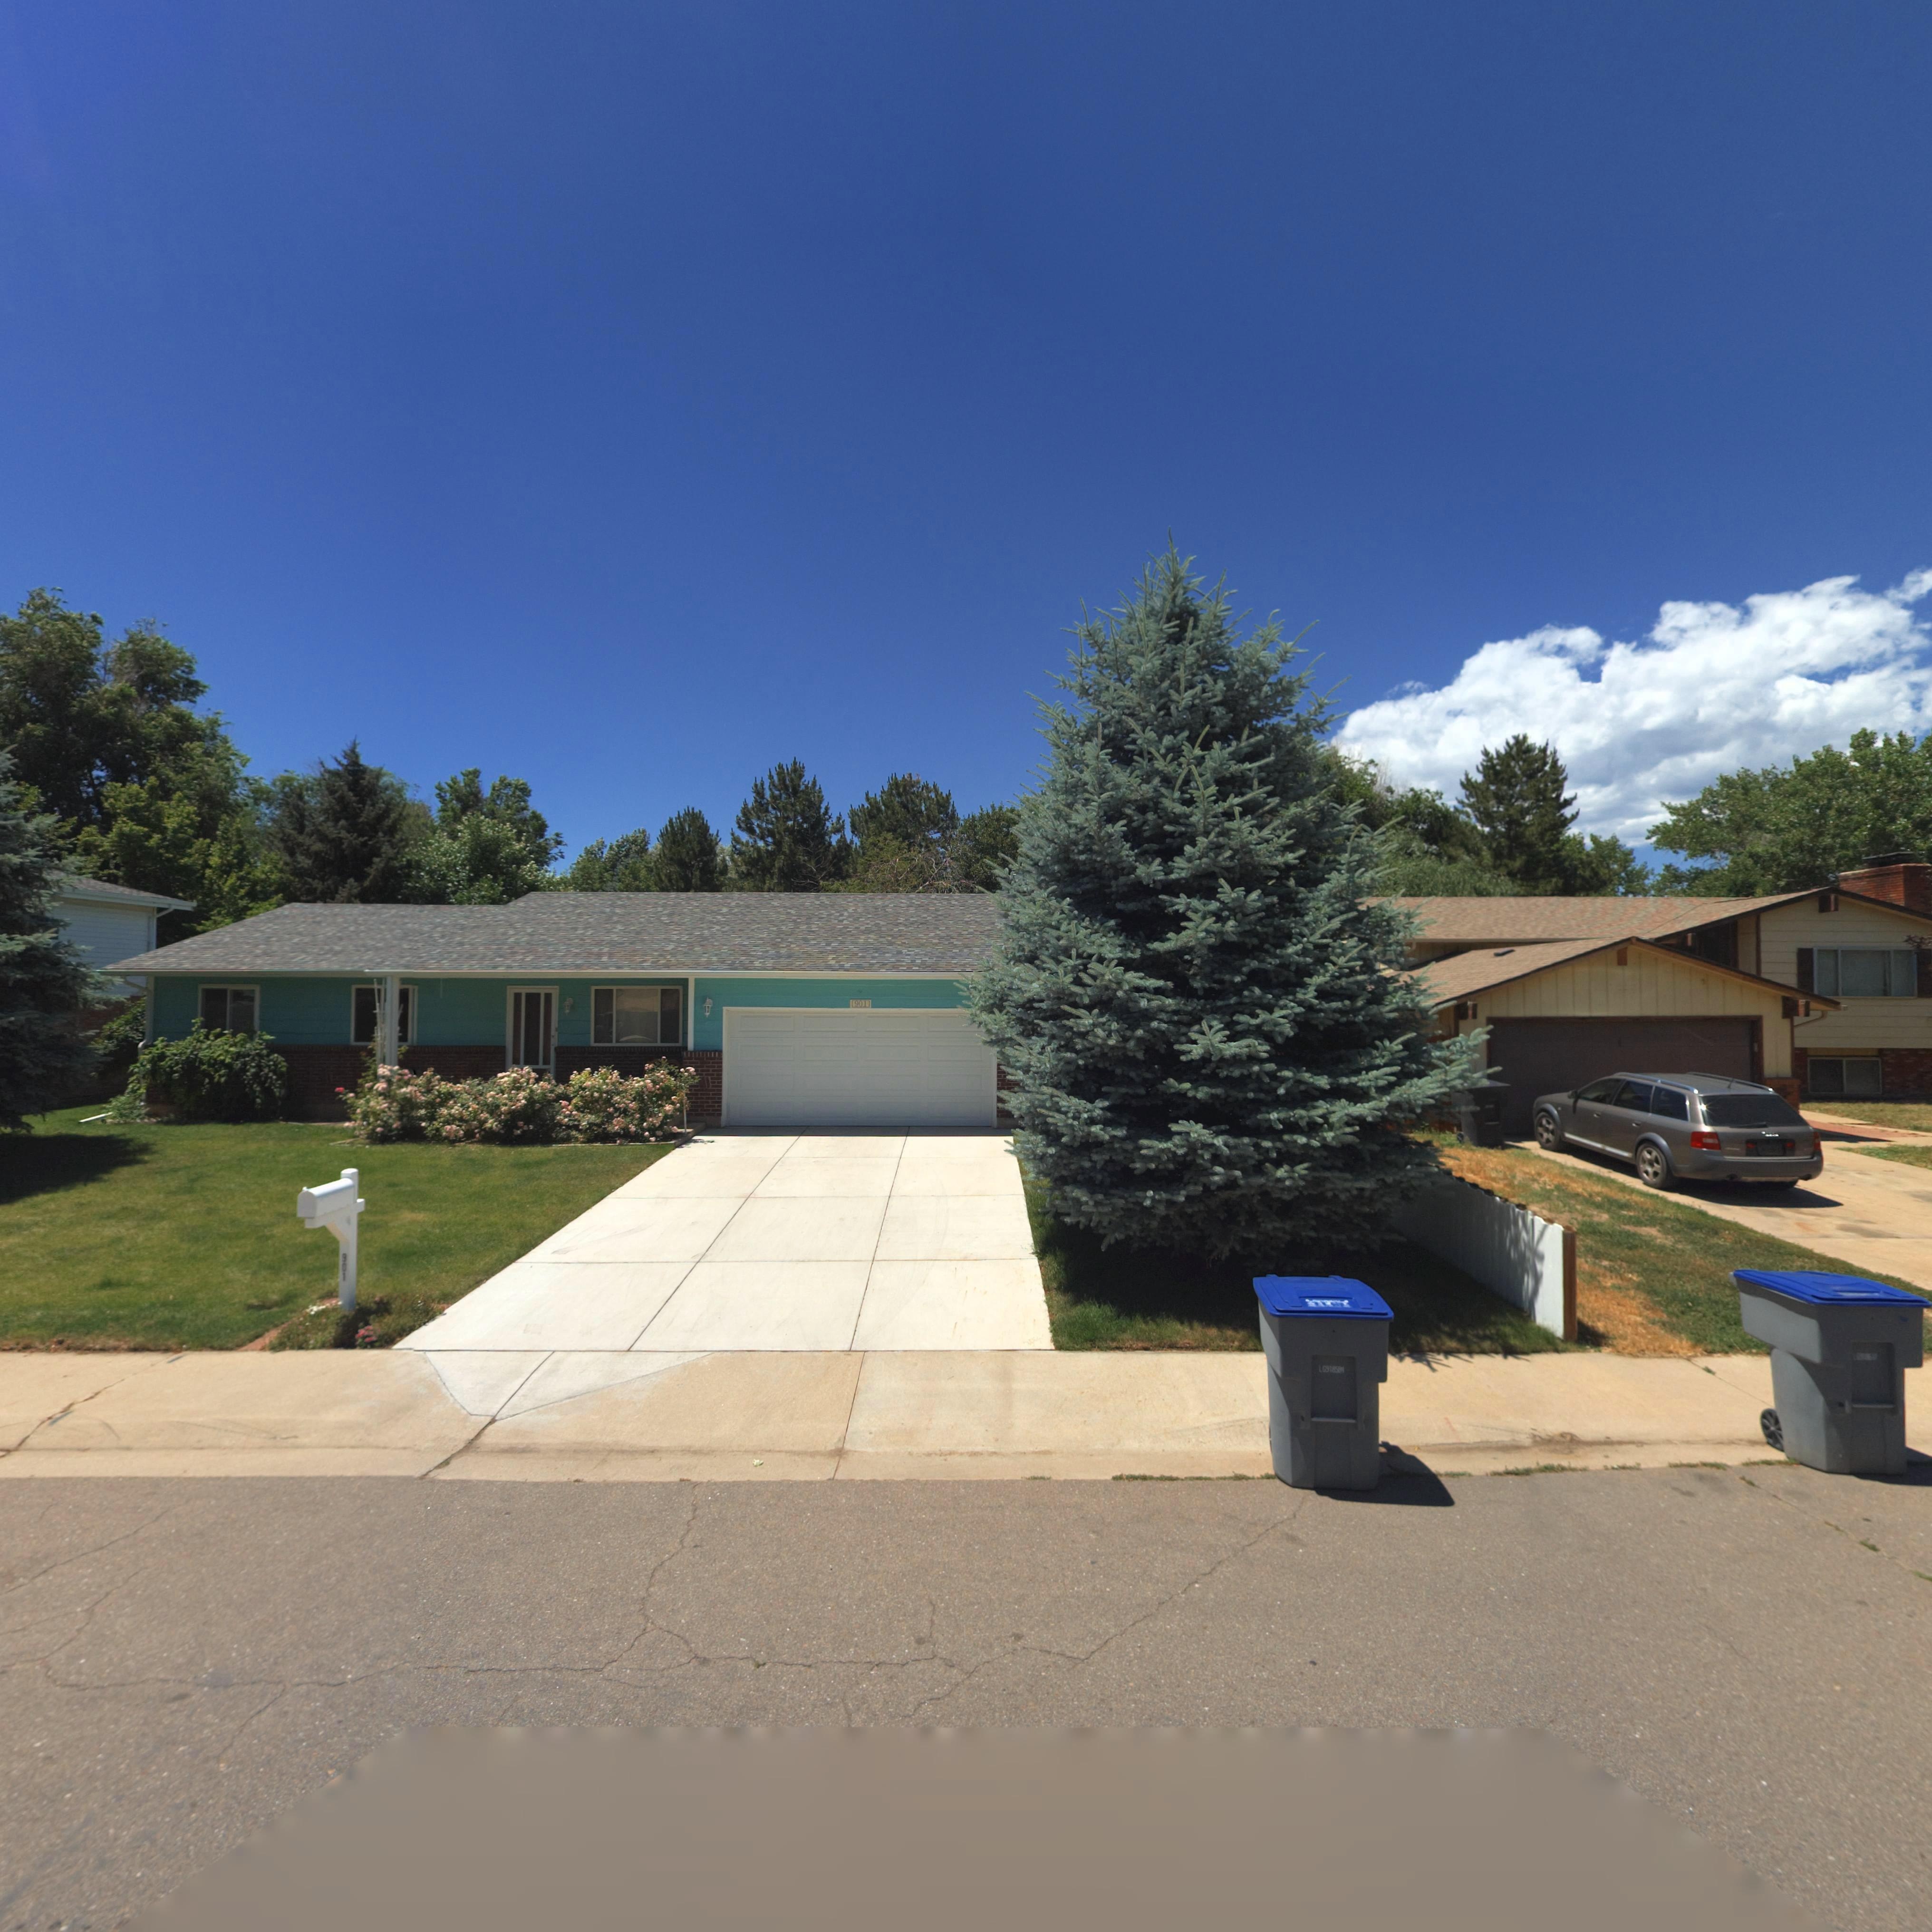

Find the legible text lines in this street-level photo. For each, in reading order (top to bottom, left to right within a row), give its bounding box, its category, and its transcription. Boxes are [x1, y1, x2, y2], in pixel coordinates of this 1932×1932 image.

[854, 999, 867, 1007] StreetNumber: 901
[341, 1252, 347, 1282] StreetNumber: 901